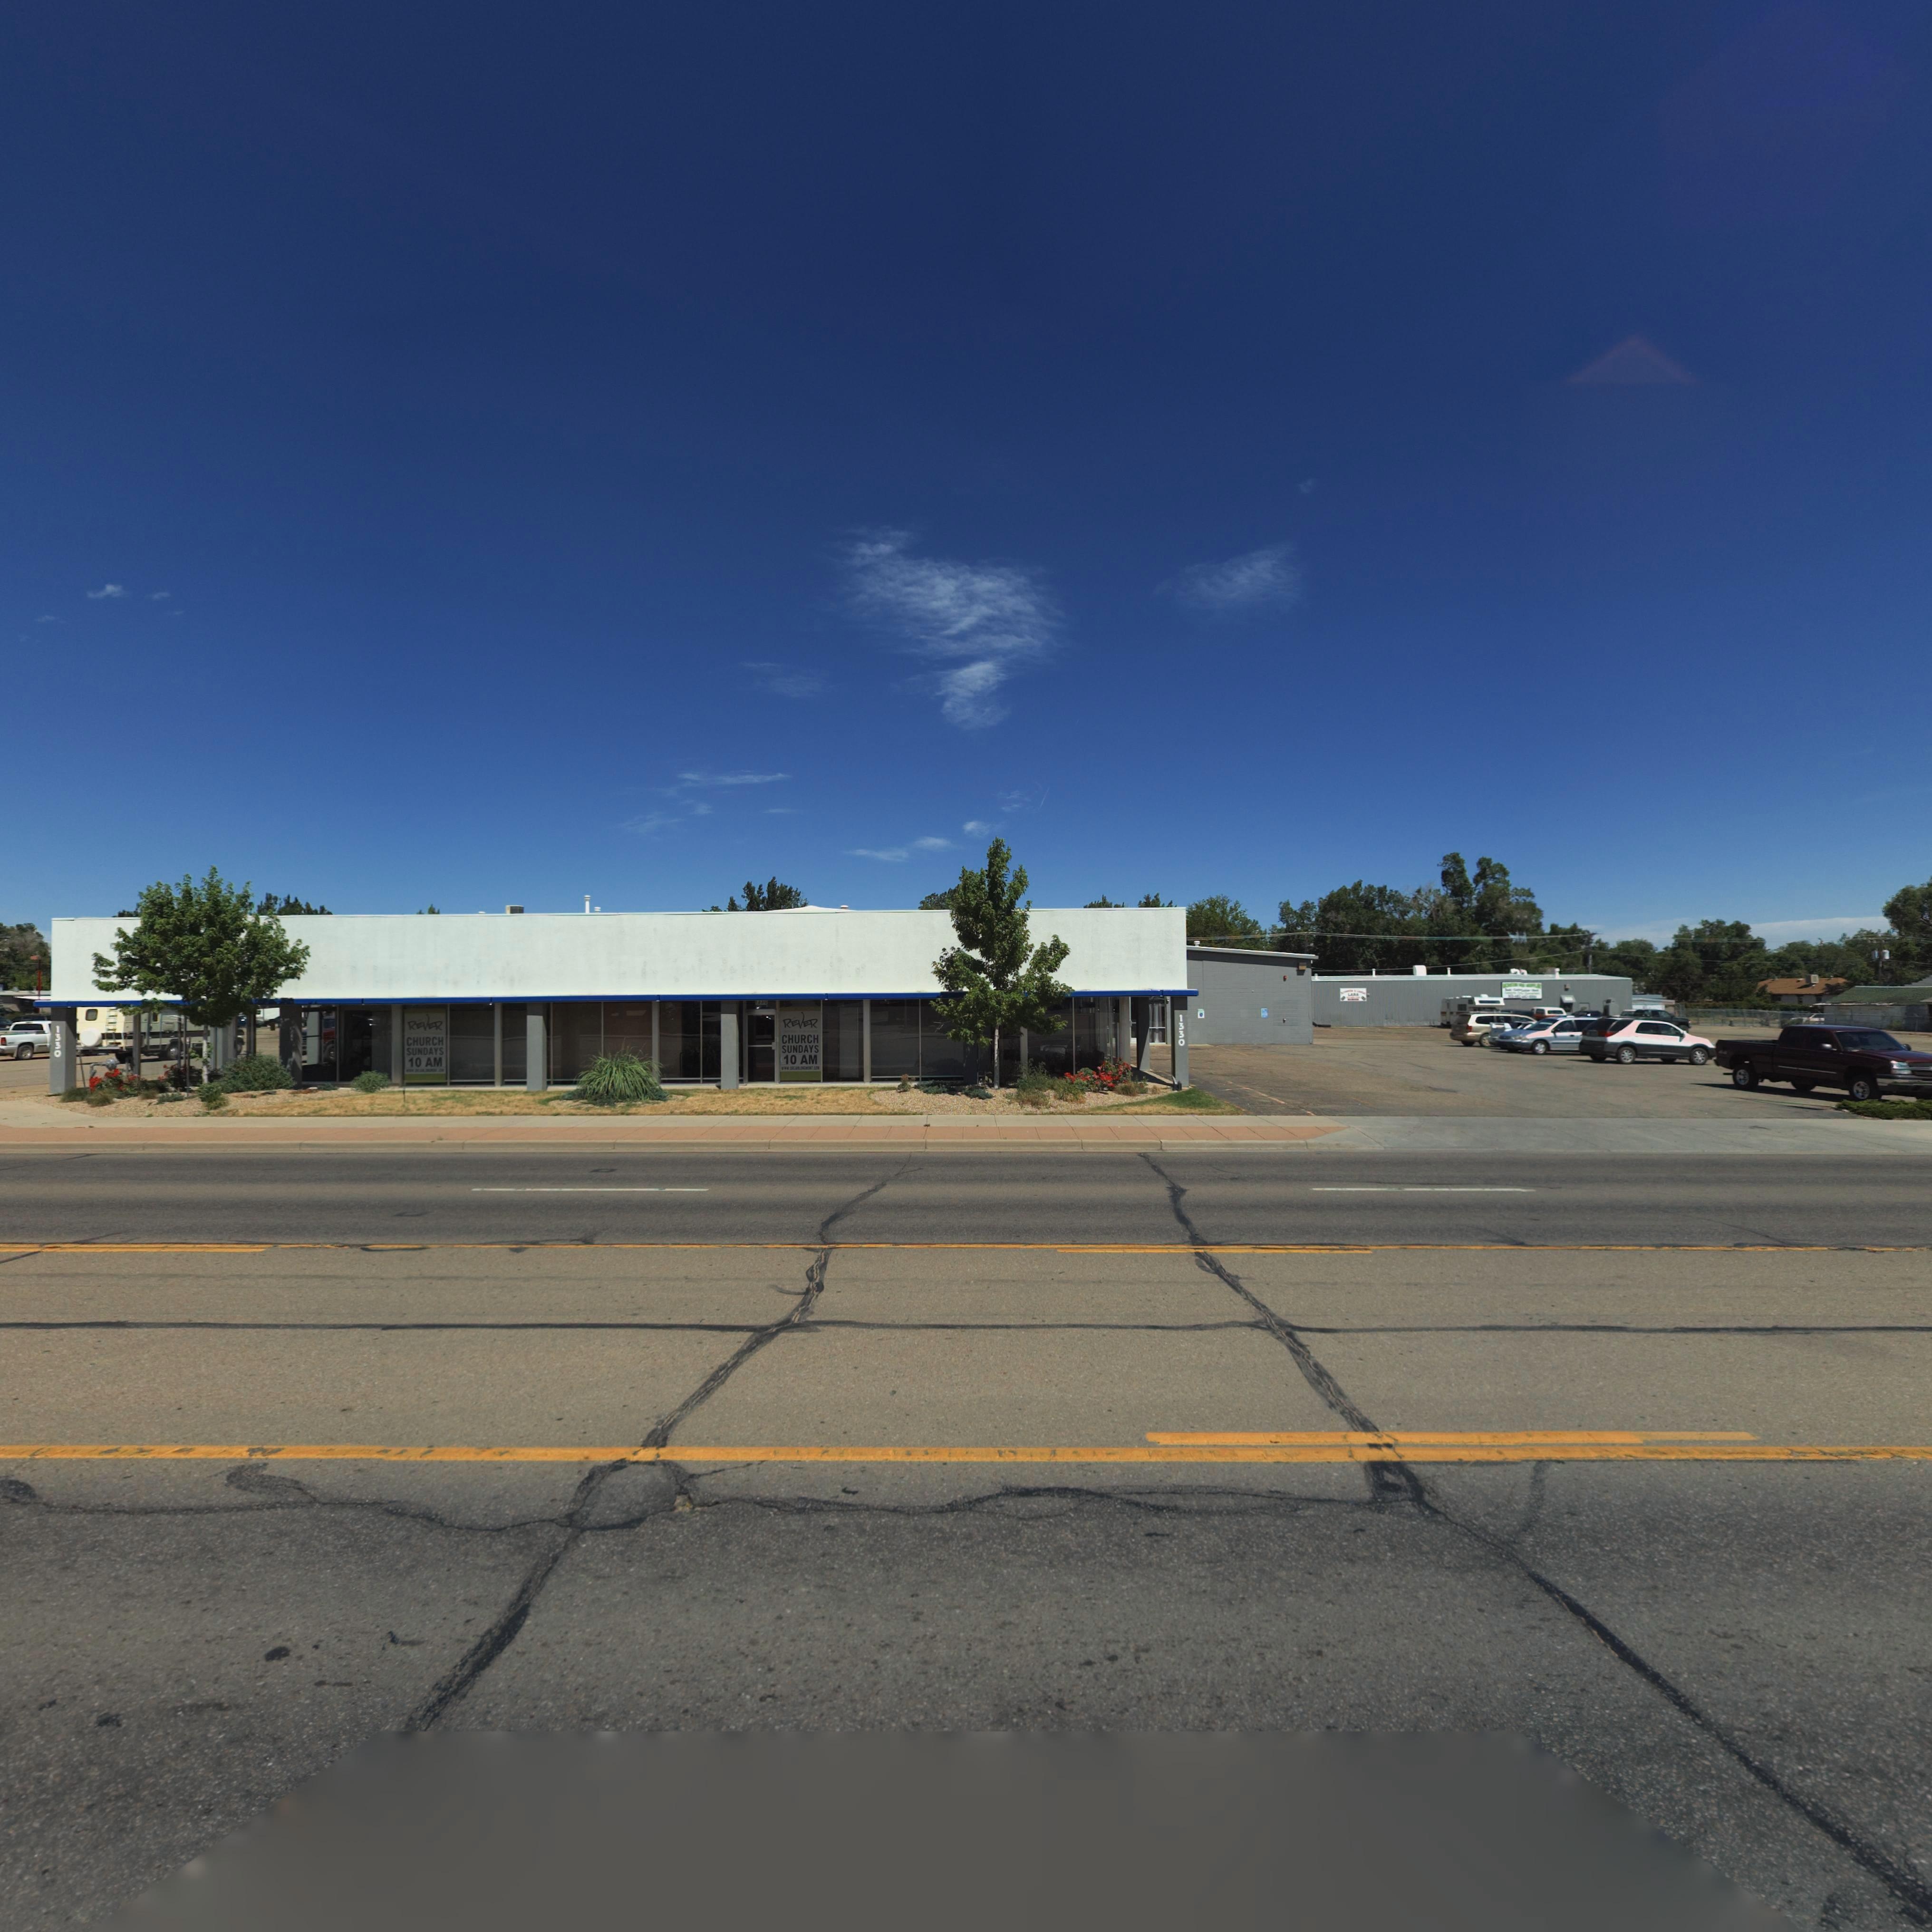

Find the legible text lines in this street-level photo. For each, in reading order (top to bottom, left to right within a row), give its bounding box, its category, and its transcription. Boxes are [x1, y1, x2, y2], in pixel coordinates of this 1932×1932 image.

[755, 1000, 767, 1004] StreetNumber: 1330
[407, 1019, 443, 1030] BusinessName: REVER
[781, 1011, 818, 1029] BusinessName: REVER
[1178, 1014, 1185, 1046] StreetNumber: 1330
[53, 1024, 63, 1058] StreetNumber: 1330